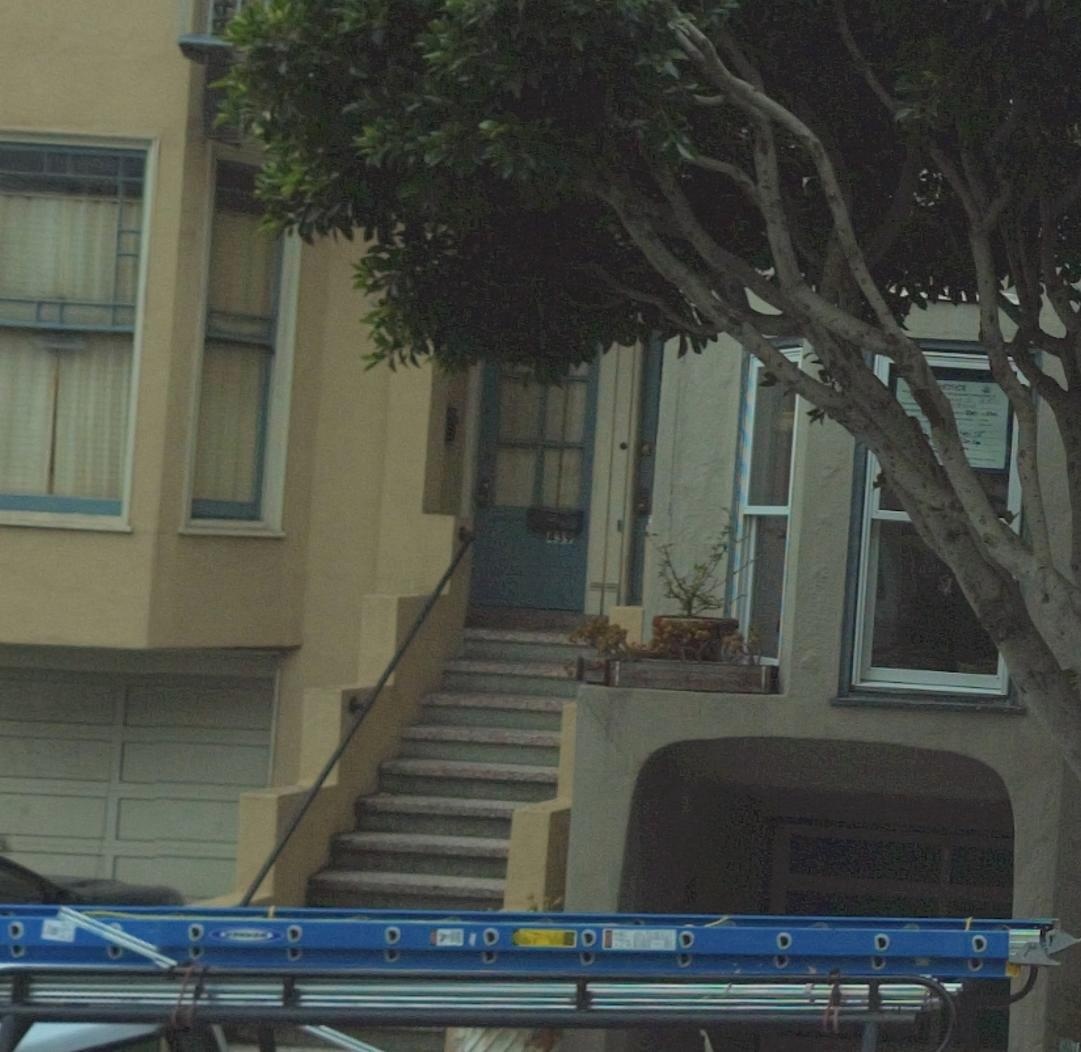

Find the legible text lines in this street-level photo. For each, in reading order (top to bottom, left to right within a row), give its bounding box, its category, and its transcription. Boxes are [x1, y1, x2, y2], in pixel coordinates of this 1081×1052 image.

[547, 530, 573, 543] StreetNumber: 439